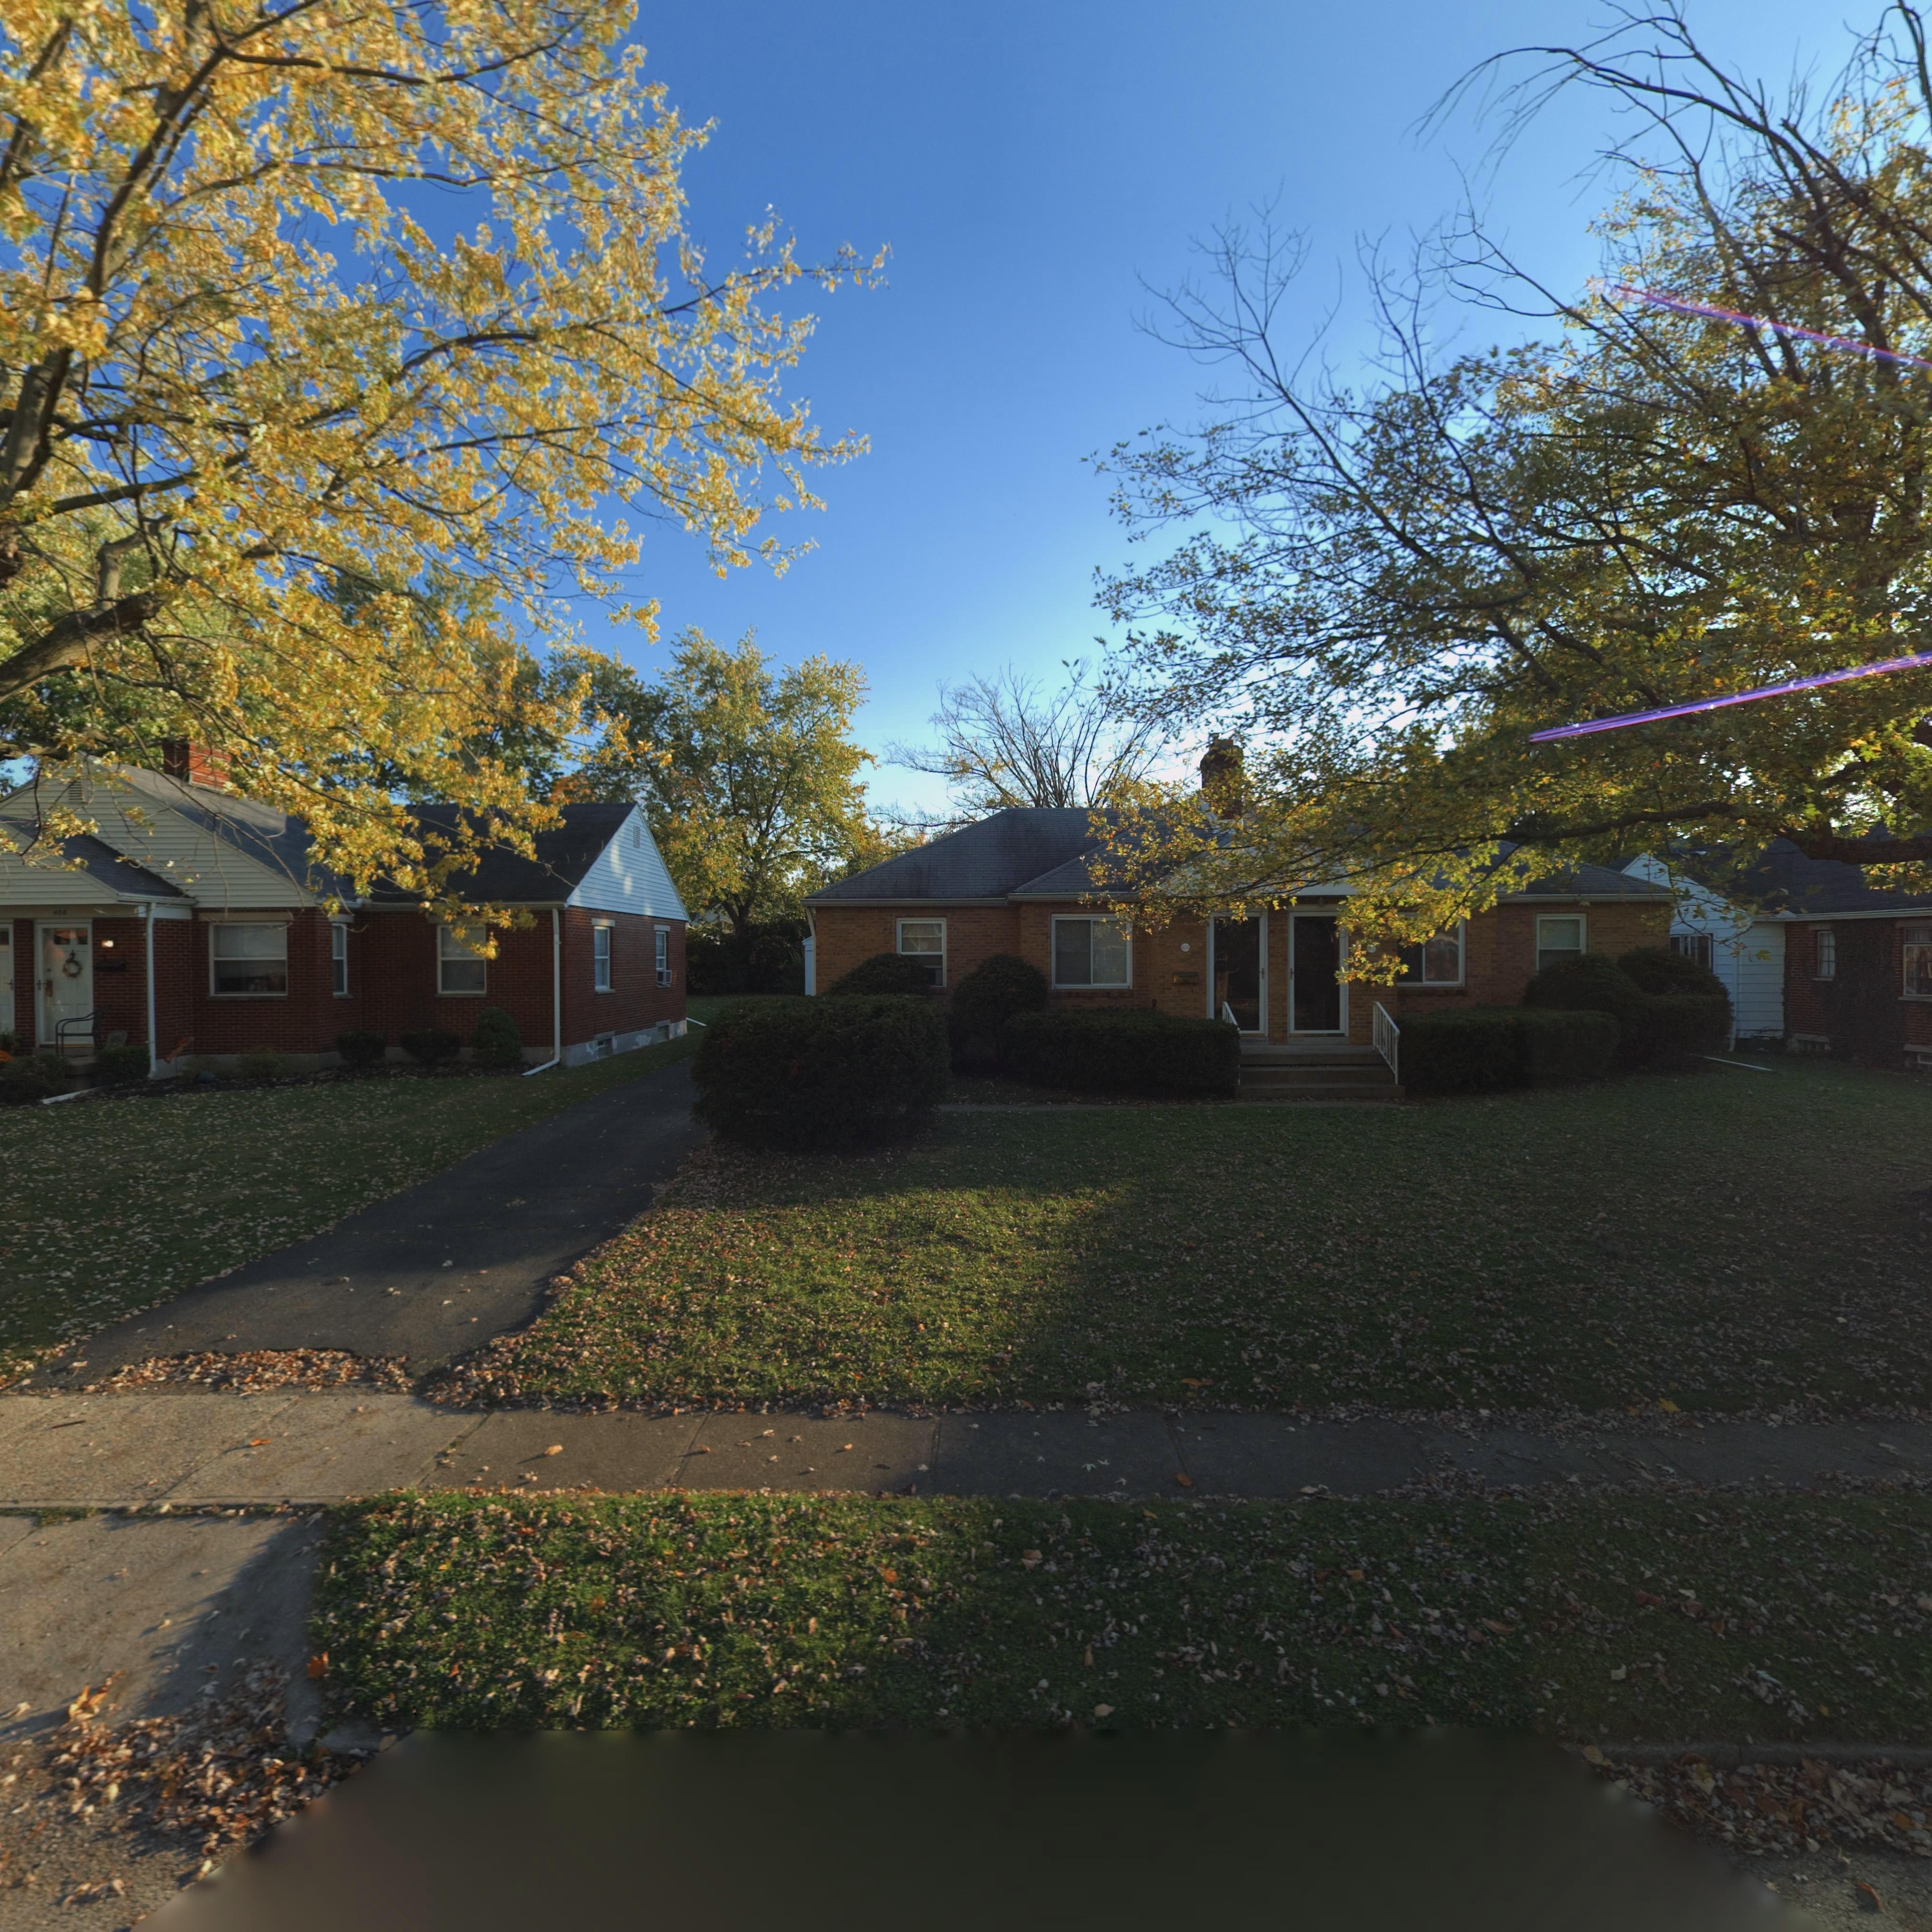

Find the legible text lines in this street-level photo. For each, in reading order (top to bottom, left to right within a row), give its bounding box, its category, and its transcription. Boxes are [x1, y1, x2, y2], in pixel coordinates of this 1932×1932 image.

[1182, 944, 1189, 950] StreetNumber: *0*